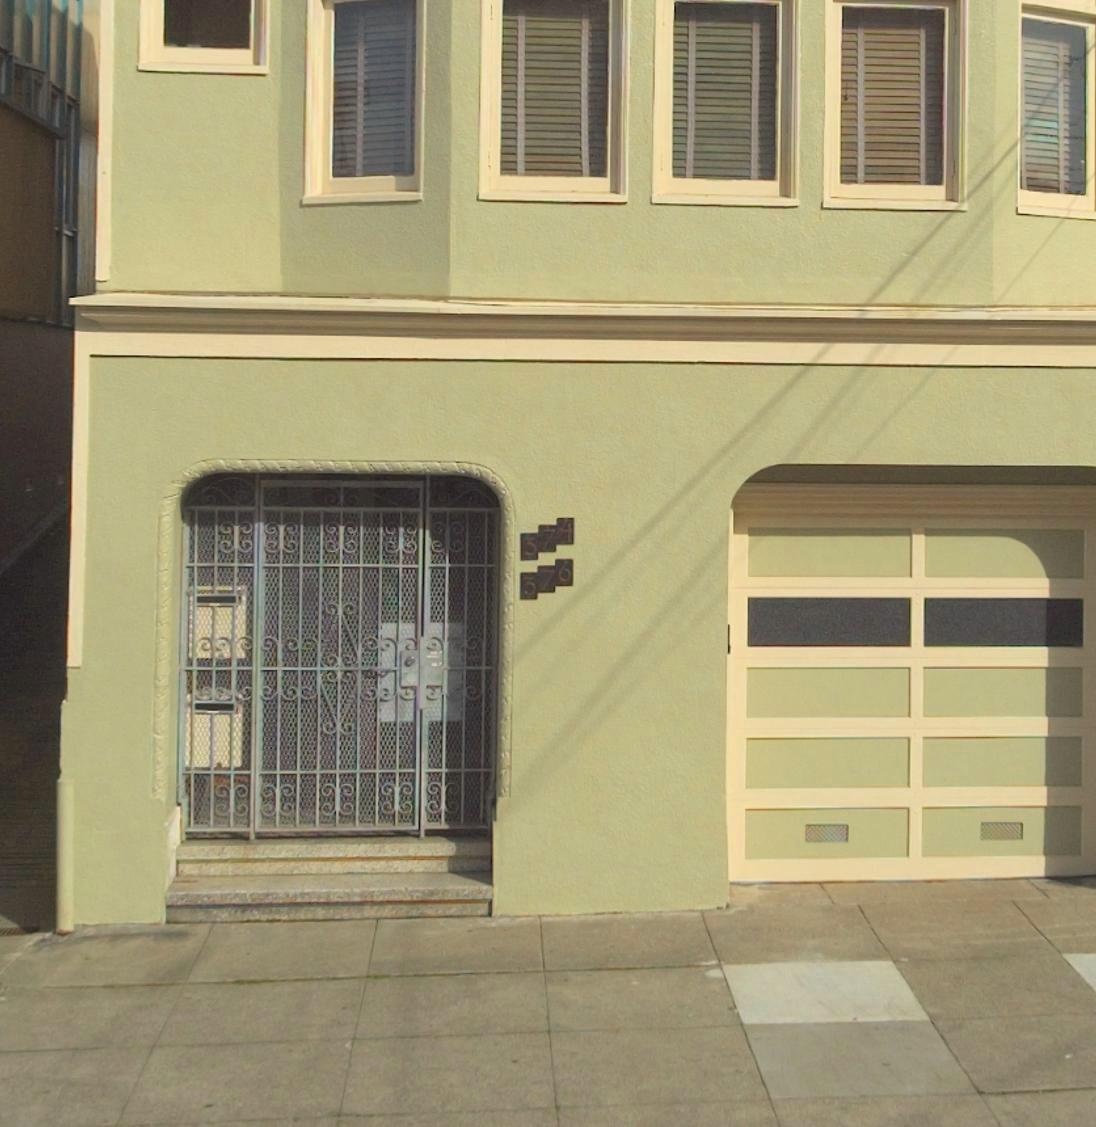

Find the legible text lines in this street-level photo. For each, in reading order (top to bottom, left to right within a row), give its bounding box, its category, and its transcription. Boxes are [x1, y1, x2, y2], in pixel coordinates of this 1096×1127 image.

[523, 515, 574, 558] StreetNumber: 374
[522, 557, 573, 597] StreetNumber: 376